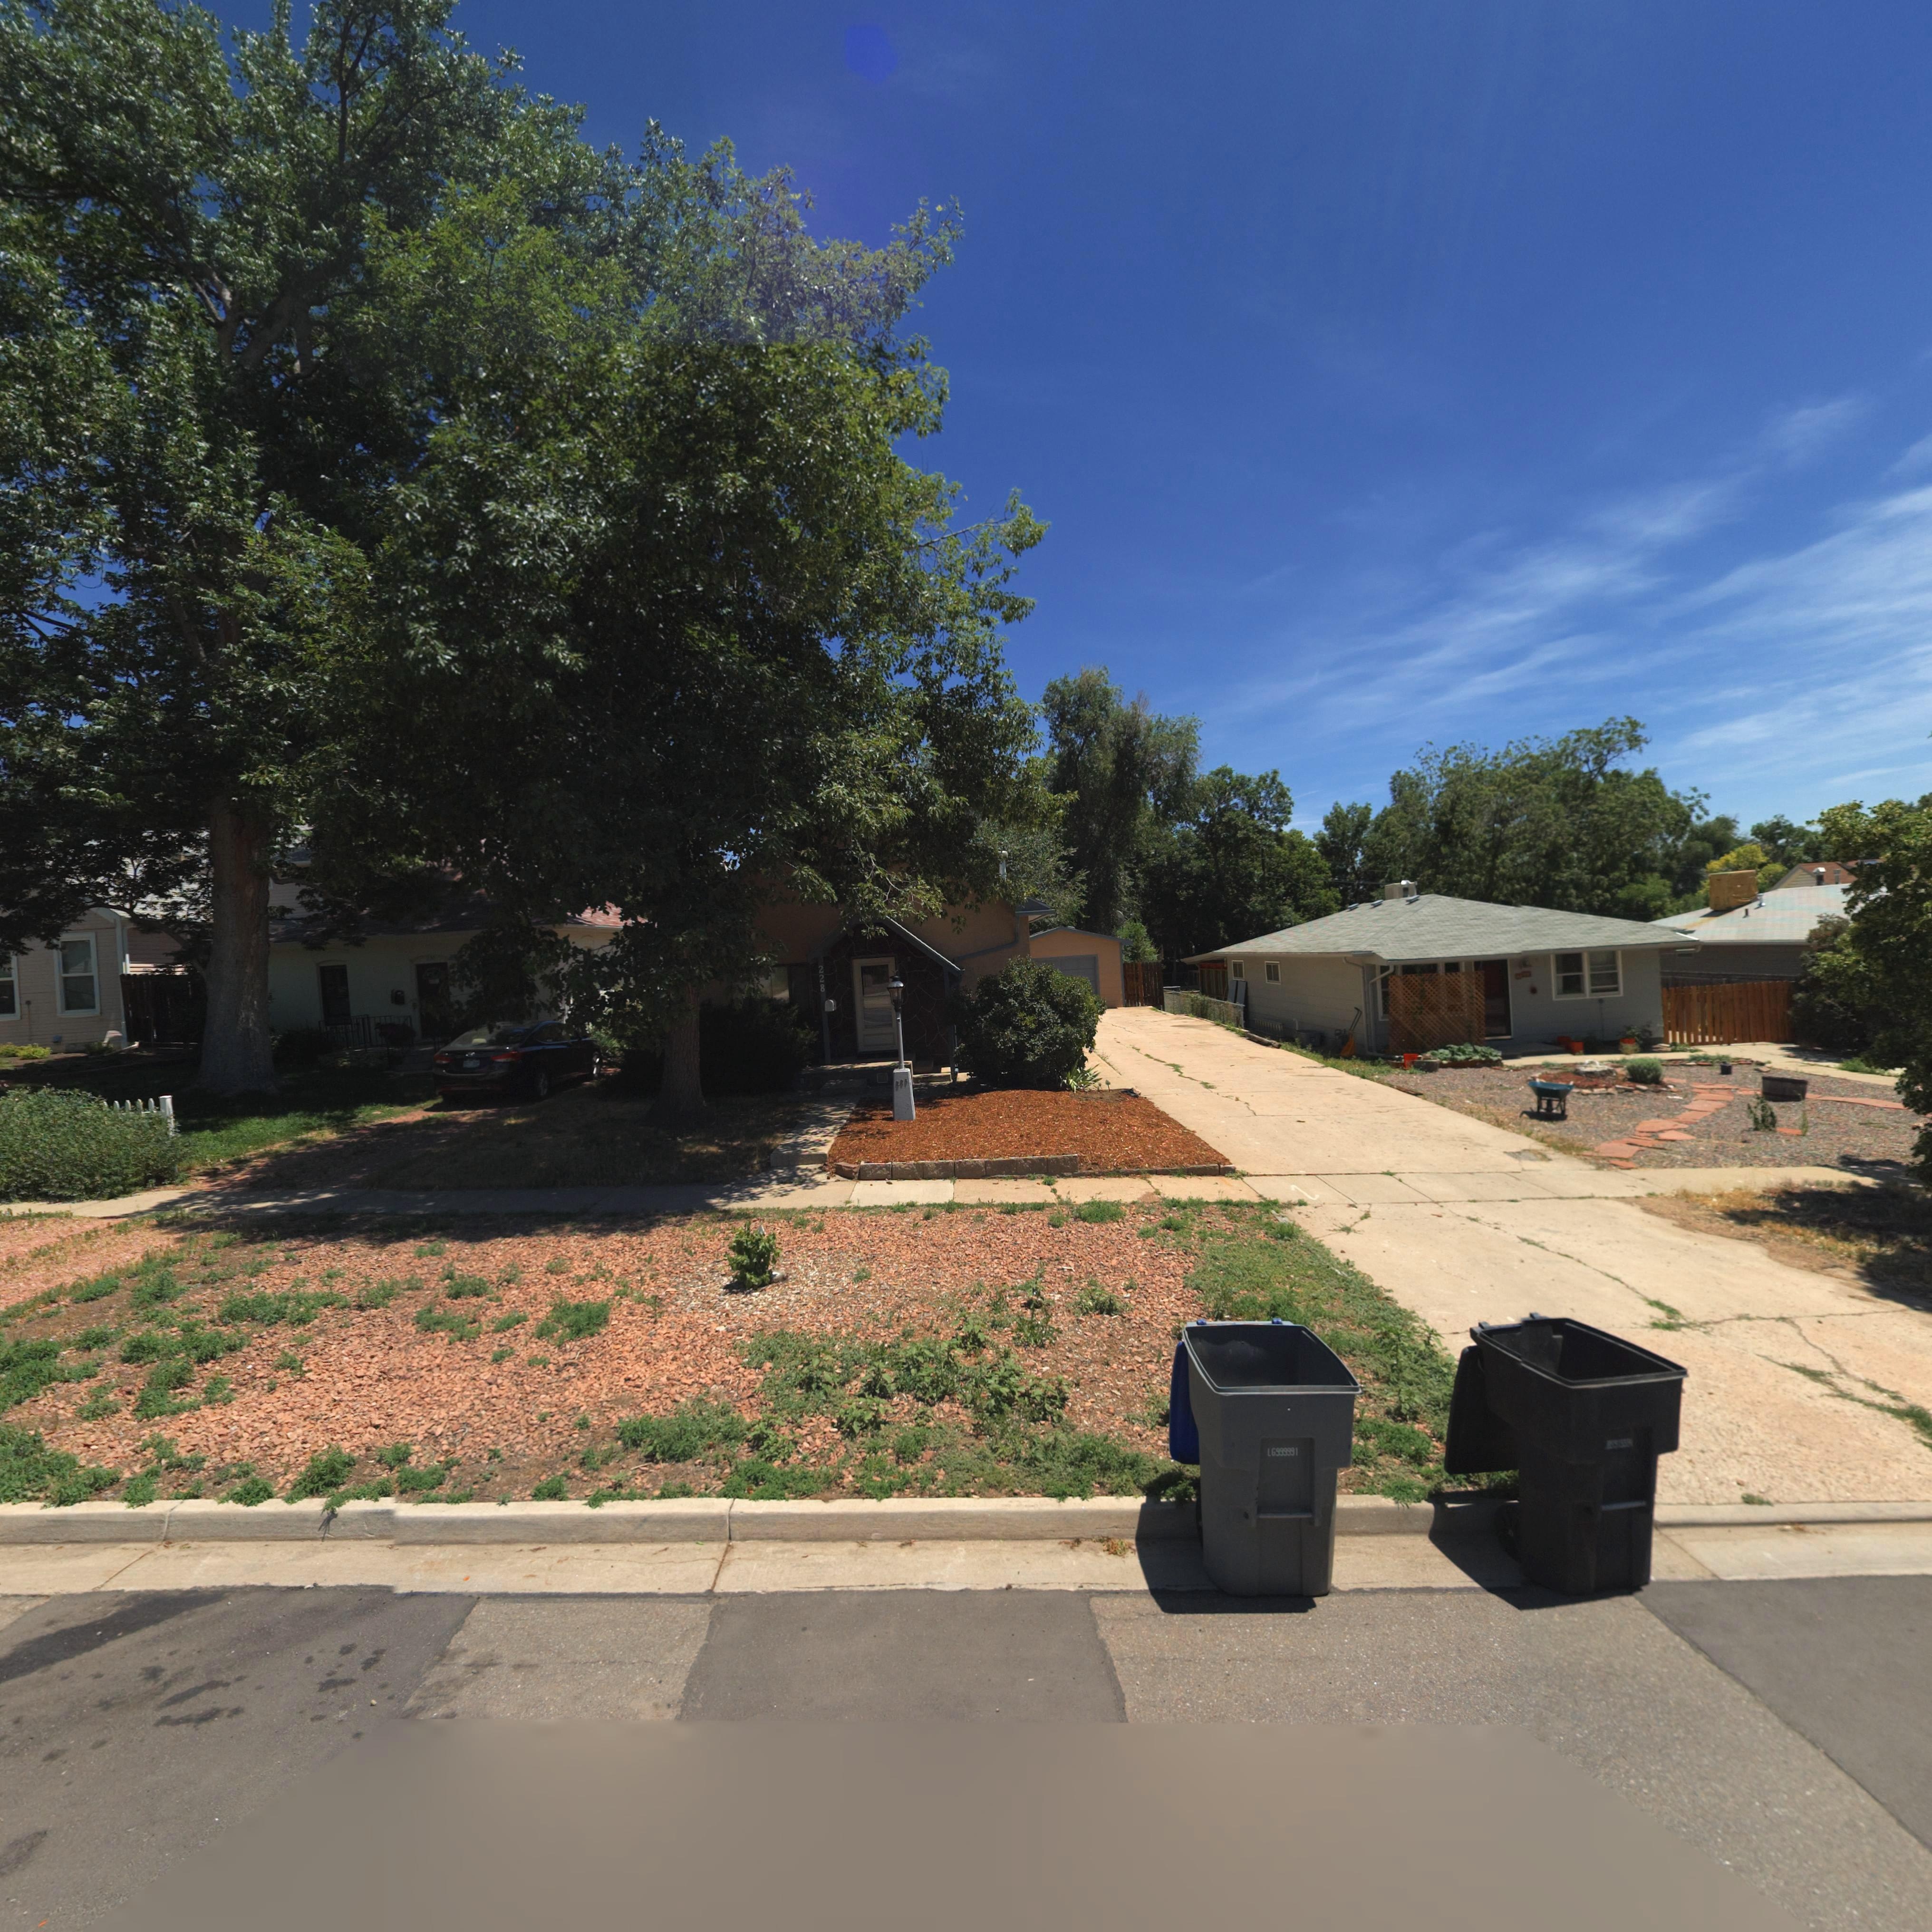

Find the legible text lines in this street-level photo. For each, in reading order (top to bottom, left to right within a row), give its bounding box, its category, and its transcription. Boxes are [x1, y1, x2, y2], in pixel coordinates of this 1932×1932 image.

[818, 965, 825, 992] StreetNumber: 228
[895, 1078, 908, 1086] StreetNumber: 228